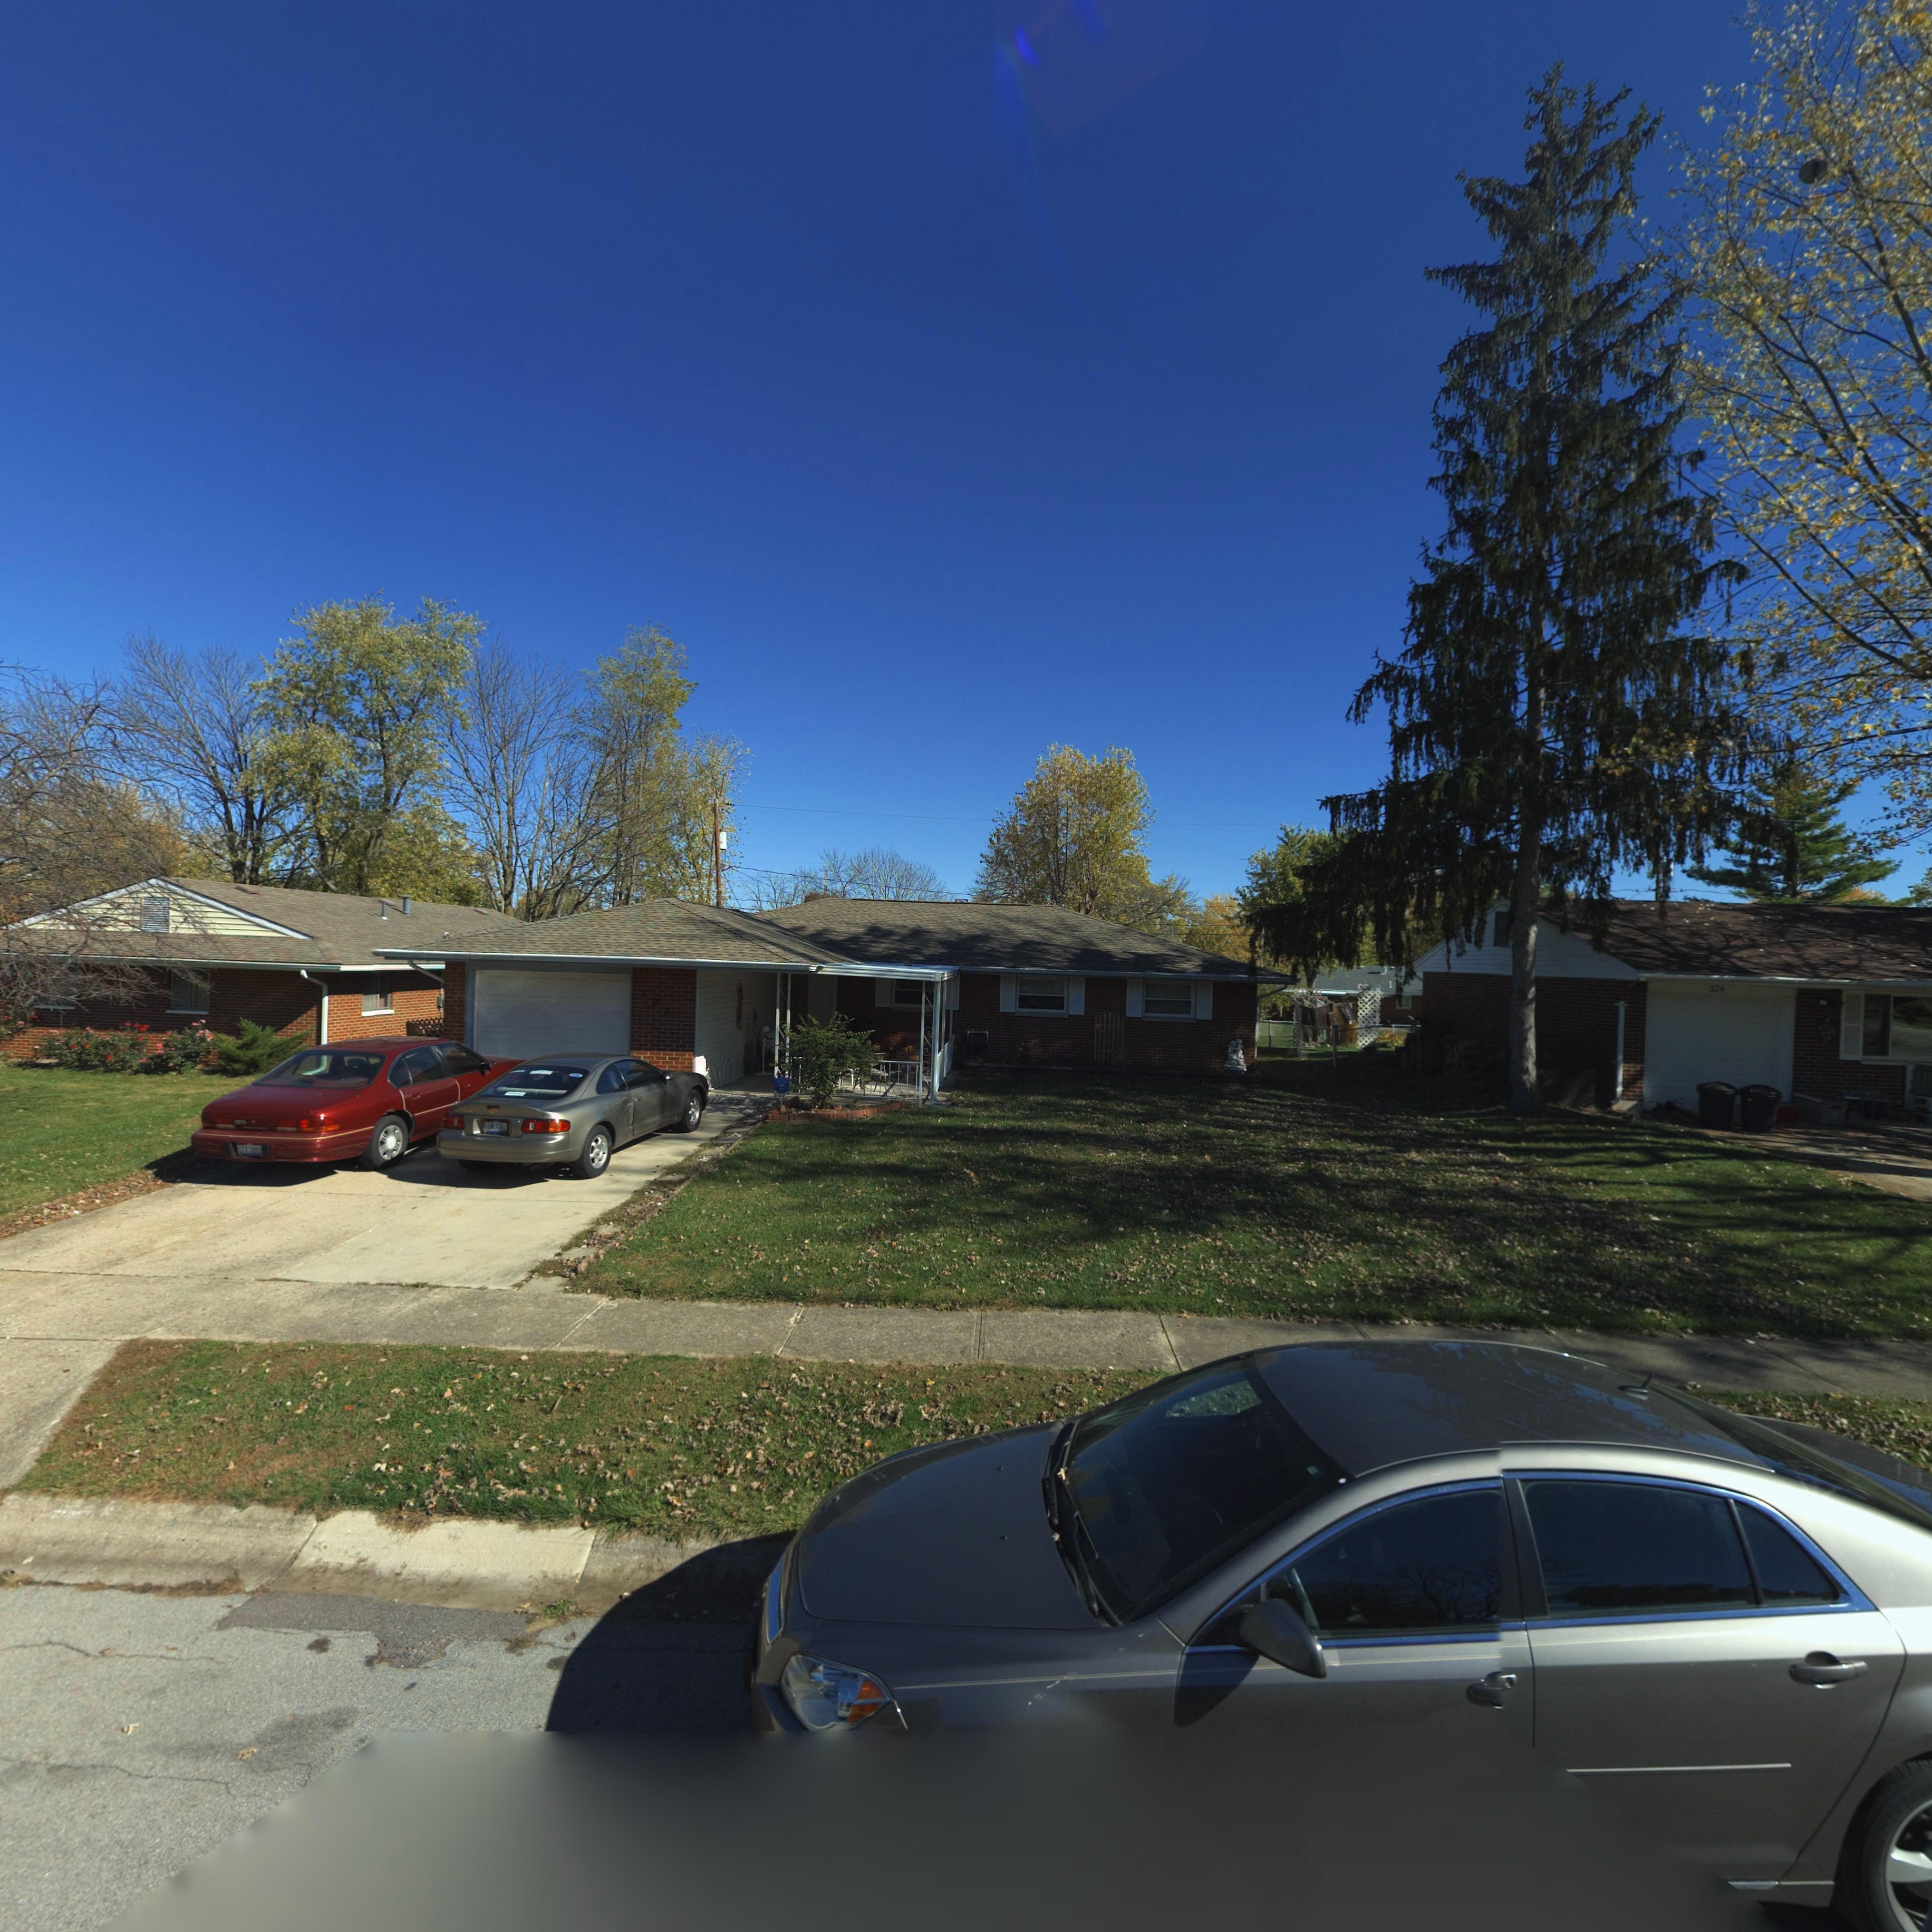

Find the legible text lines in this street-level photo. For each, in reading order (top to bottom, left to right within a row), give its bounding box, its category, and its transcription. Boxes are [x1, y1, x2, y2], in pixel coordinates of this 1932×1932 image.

[1708, 984, 1726, 994] StreetNumber: 324